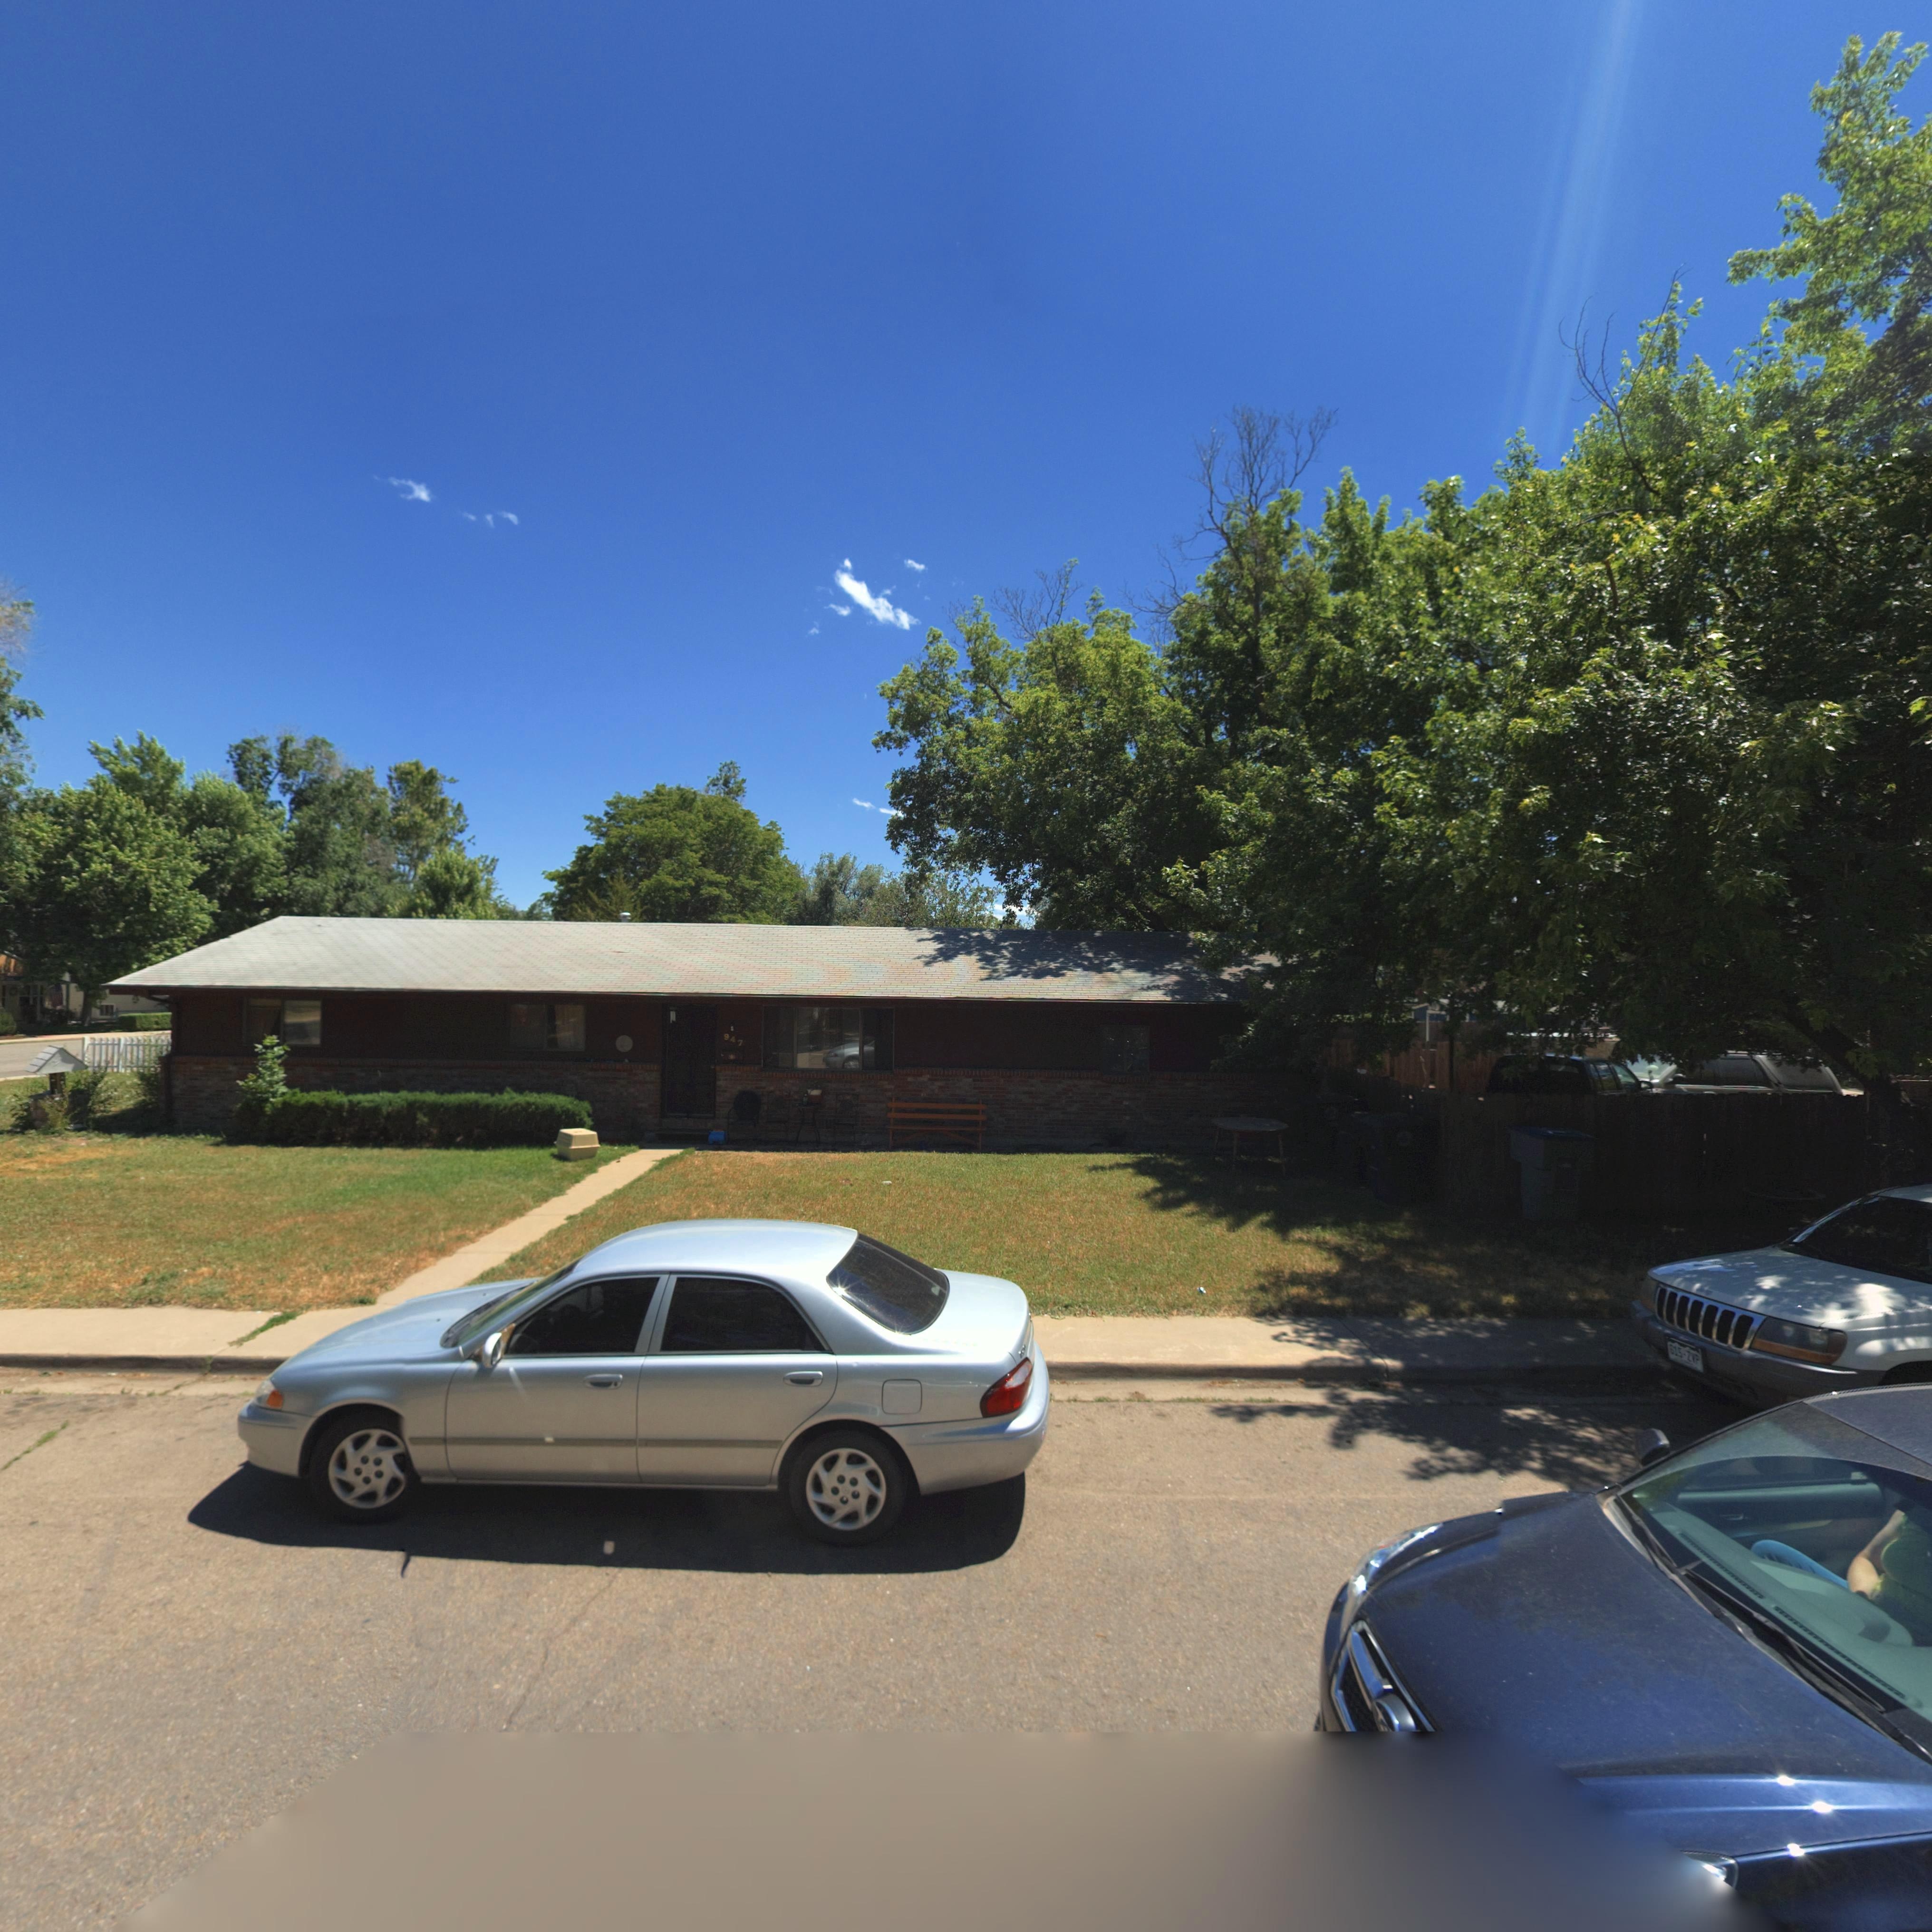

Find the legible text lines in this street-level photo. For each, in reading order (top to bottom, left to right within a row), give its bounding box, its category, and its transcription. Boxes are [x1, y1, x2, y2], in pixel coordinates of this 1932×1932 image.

[724, 1033, 744, 1046] StreetNumber: 947